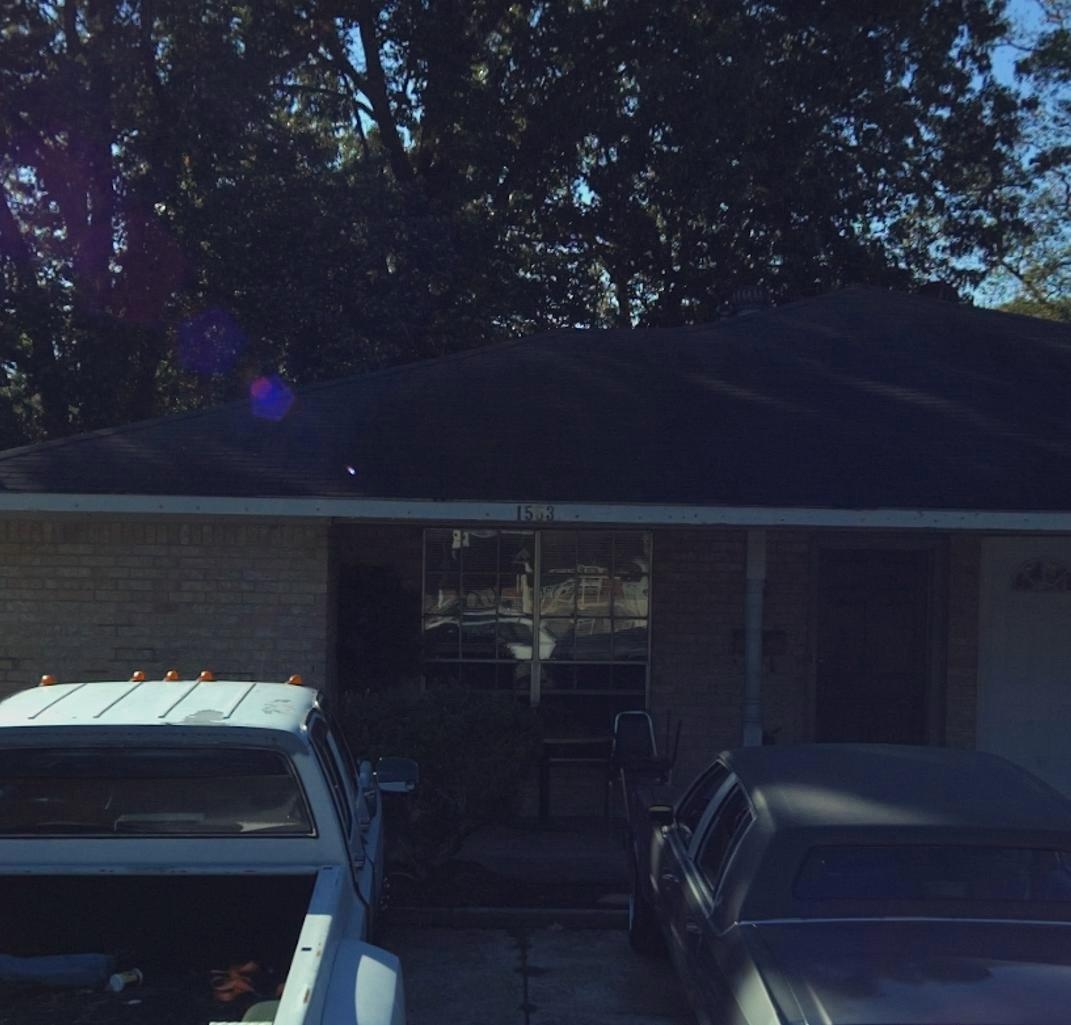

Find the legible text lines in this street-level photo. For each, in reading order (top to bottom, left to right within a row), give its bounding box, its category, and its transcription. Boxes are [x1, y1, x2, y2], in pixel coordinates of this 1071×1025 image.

[516, 504, 555, 522] StreetNumber: 1563